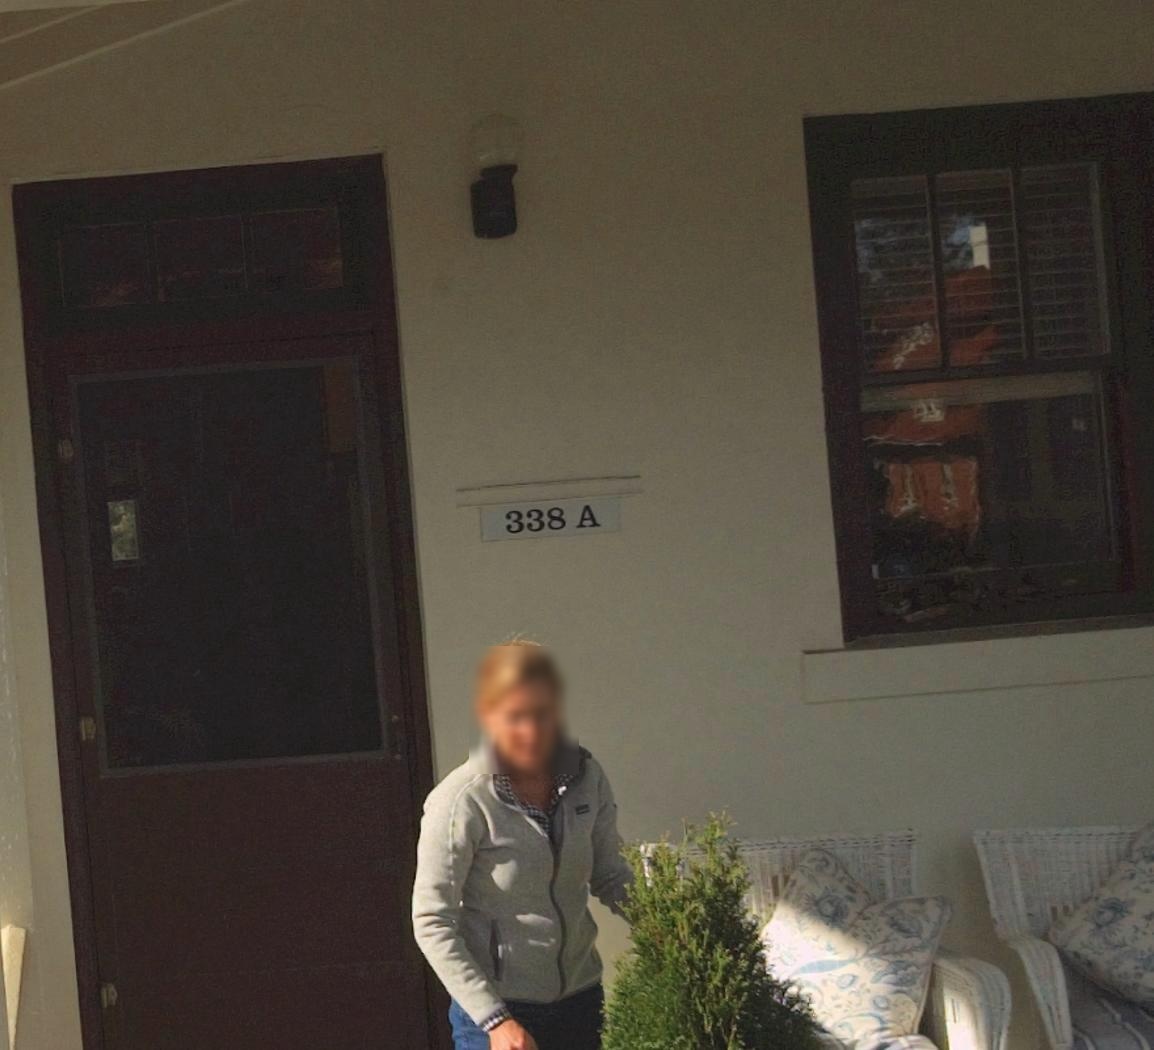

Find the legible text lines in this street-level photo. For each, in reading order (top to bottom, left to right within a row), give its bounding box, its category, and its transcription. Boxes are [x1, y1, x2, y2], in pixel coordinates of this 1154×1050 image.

[503, 503, 604, 535] StreetNumber: 338A